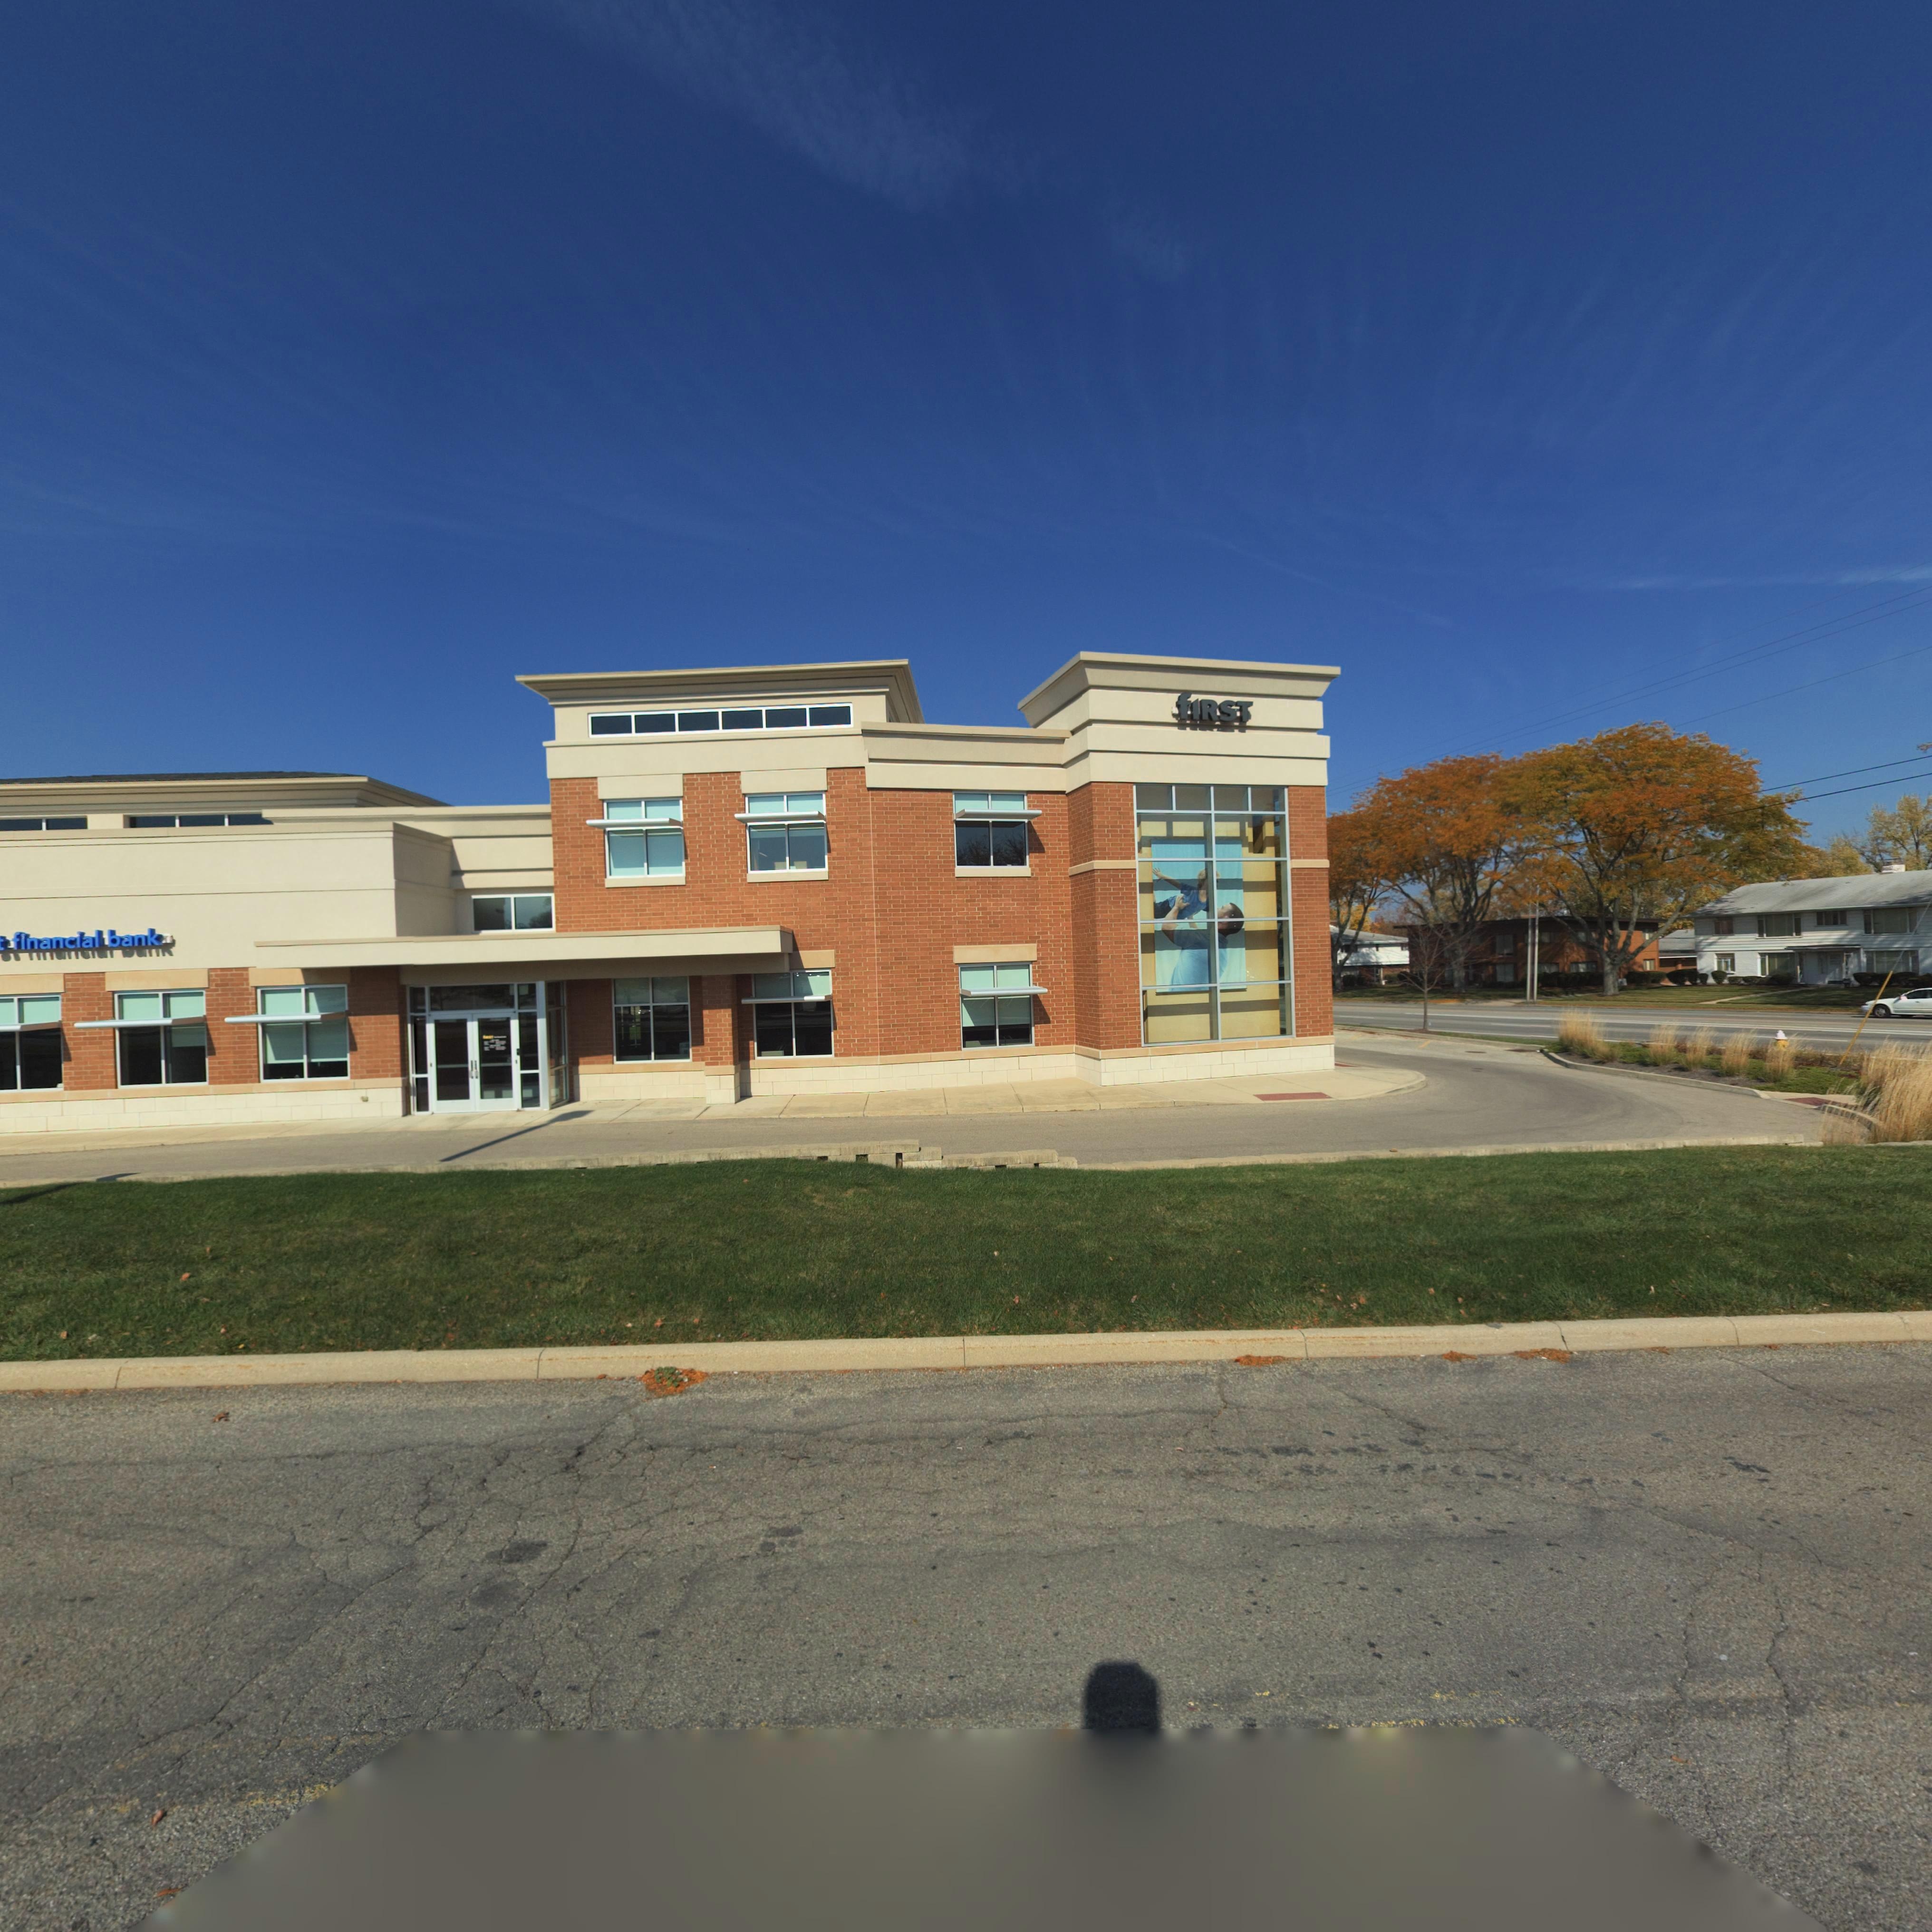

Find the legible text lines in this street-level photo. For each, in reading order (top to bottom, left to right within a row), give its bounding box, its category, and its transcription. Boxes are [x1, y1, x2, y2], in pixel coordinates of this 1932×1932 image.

[1176, 691, 1254, 722] BusinessName: fIRST
[11, 927, 162, 951] BusinessName: financial bank